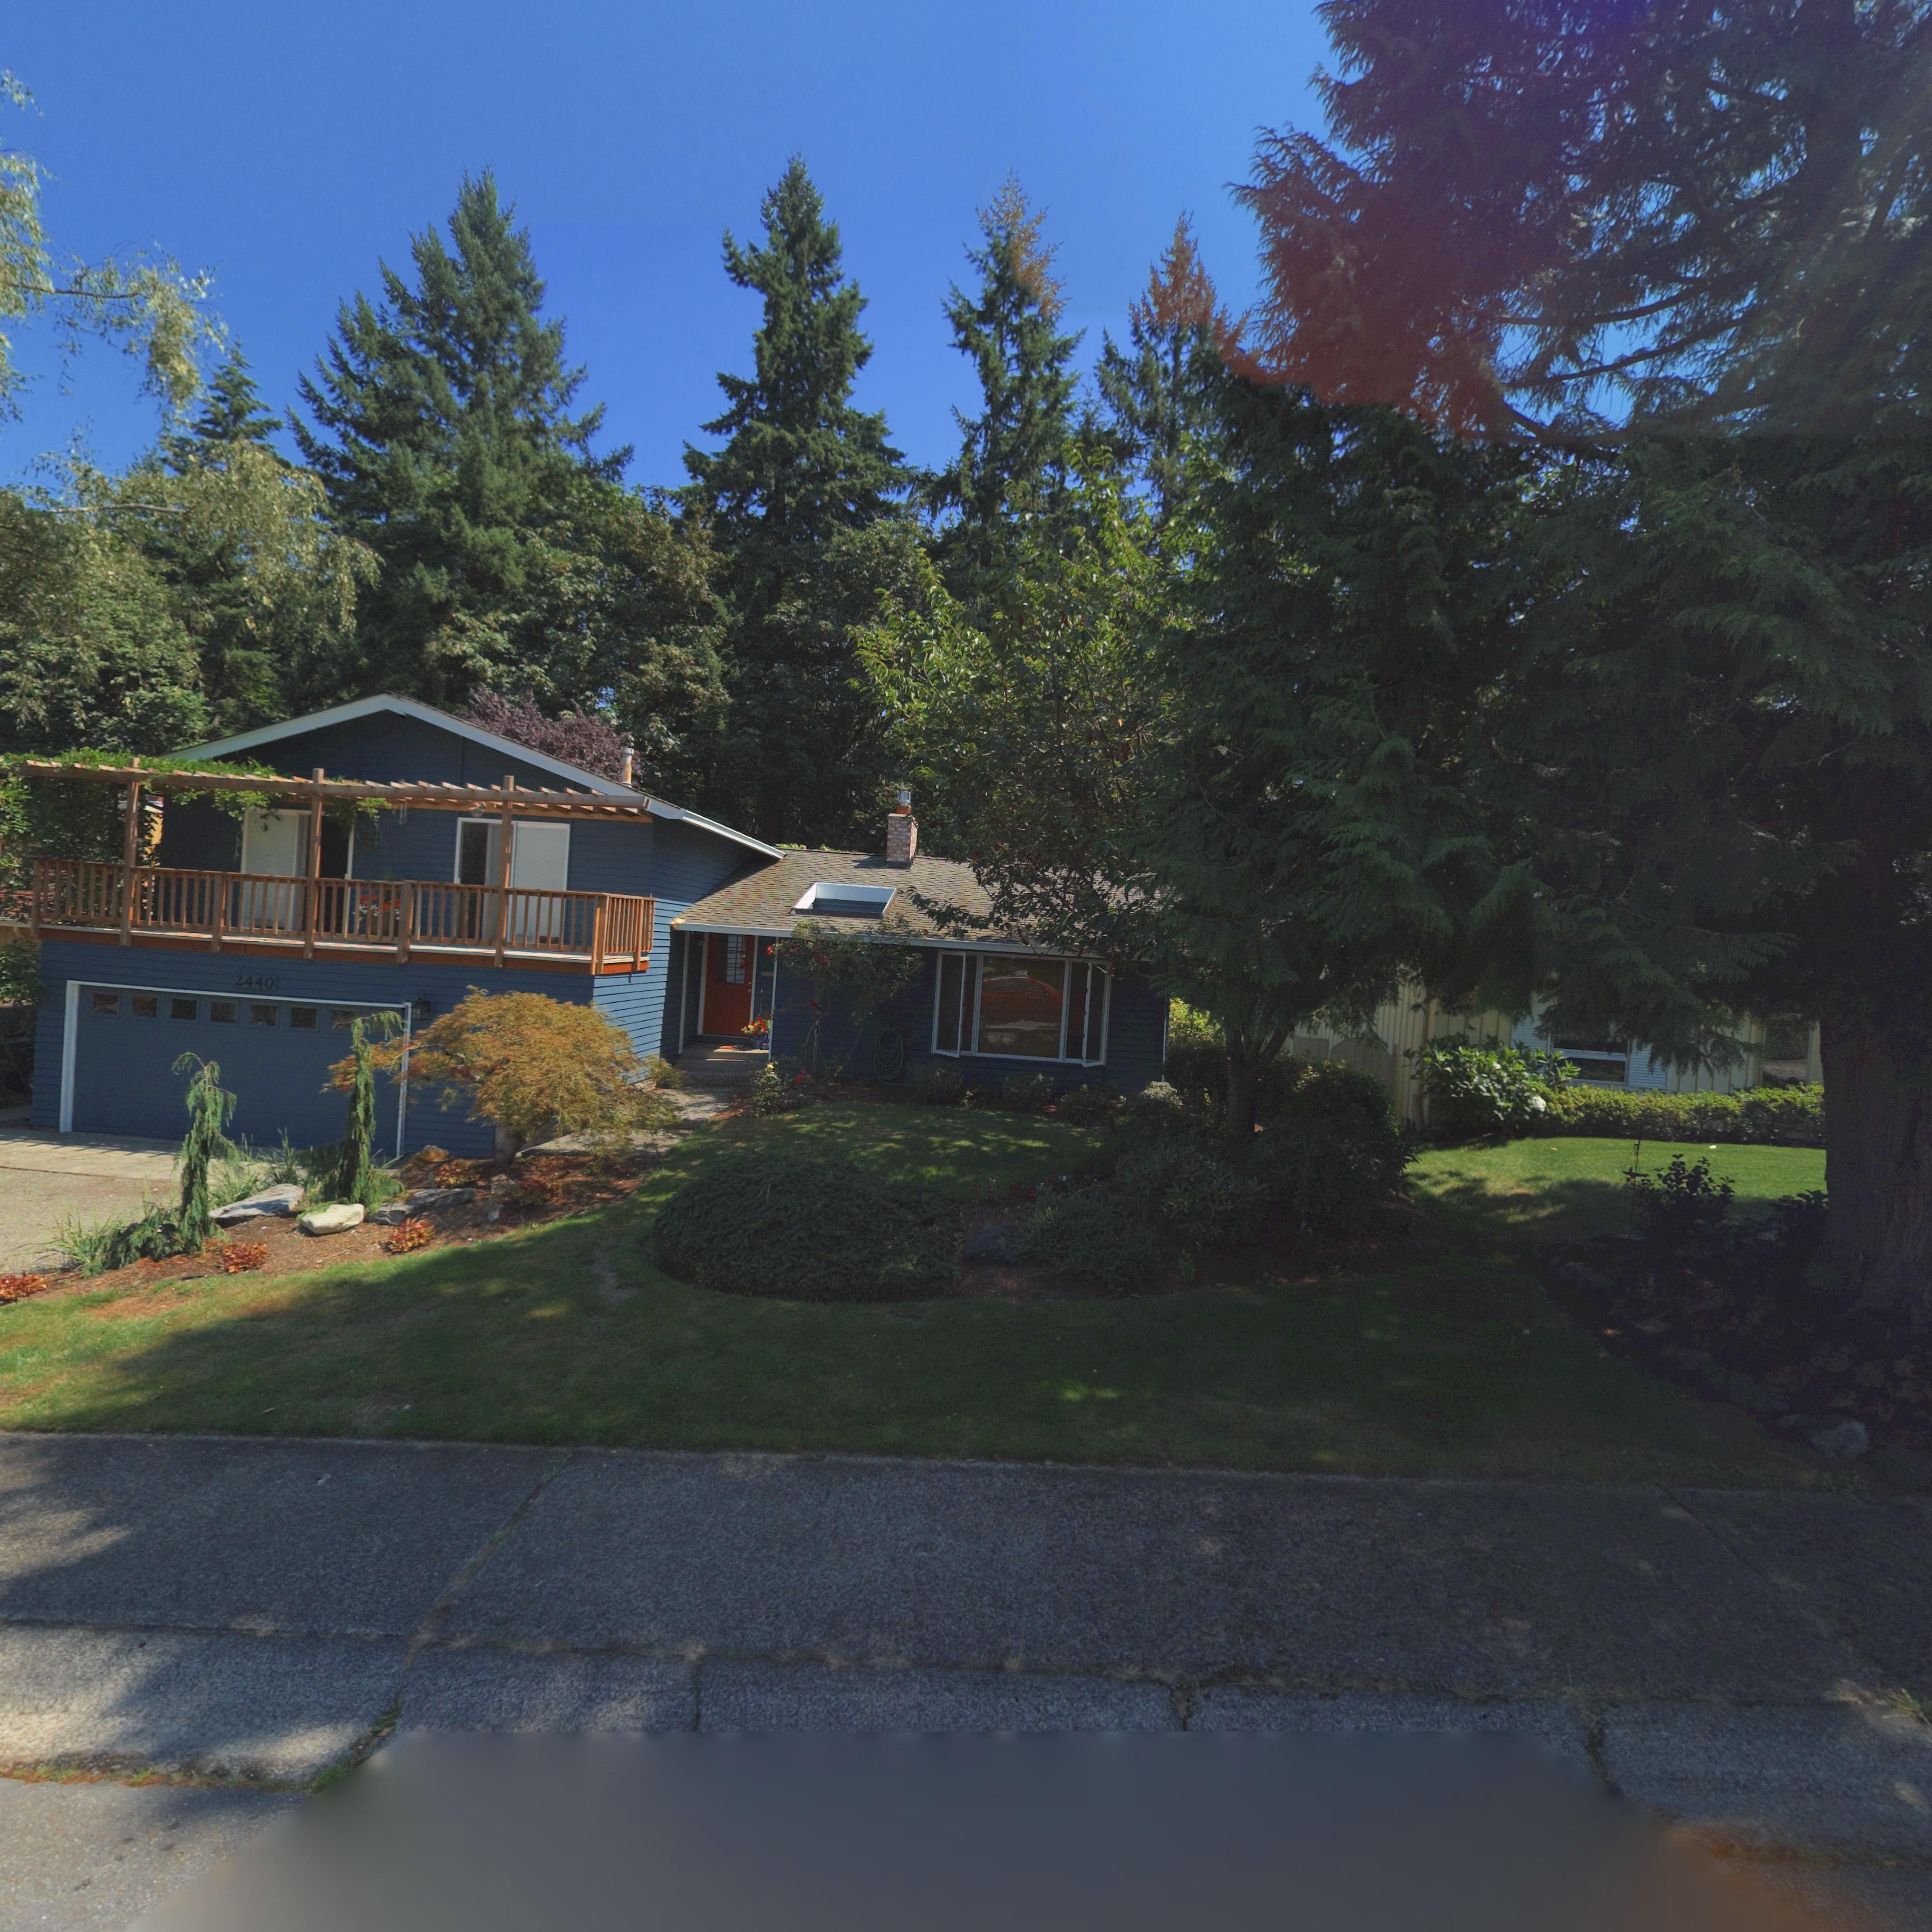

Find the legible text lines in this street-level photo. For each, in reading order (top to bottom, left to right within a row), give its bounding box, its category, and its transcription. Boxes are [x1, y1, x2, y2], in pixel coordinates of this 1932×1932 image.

[235, 973, 275, 989] StreetNumber: 2440